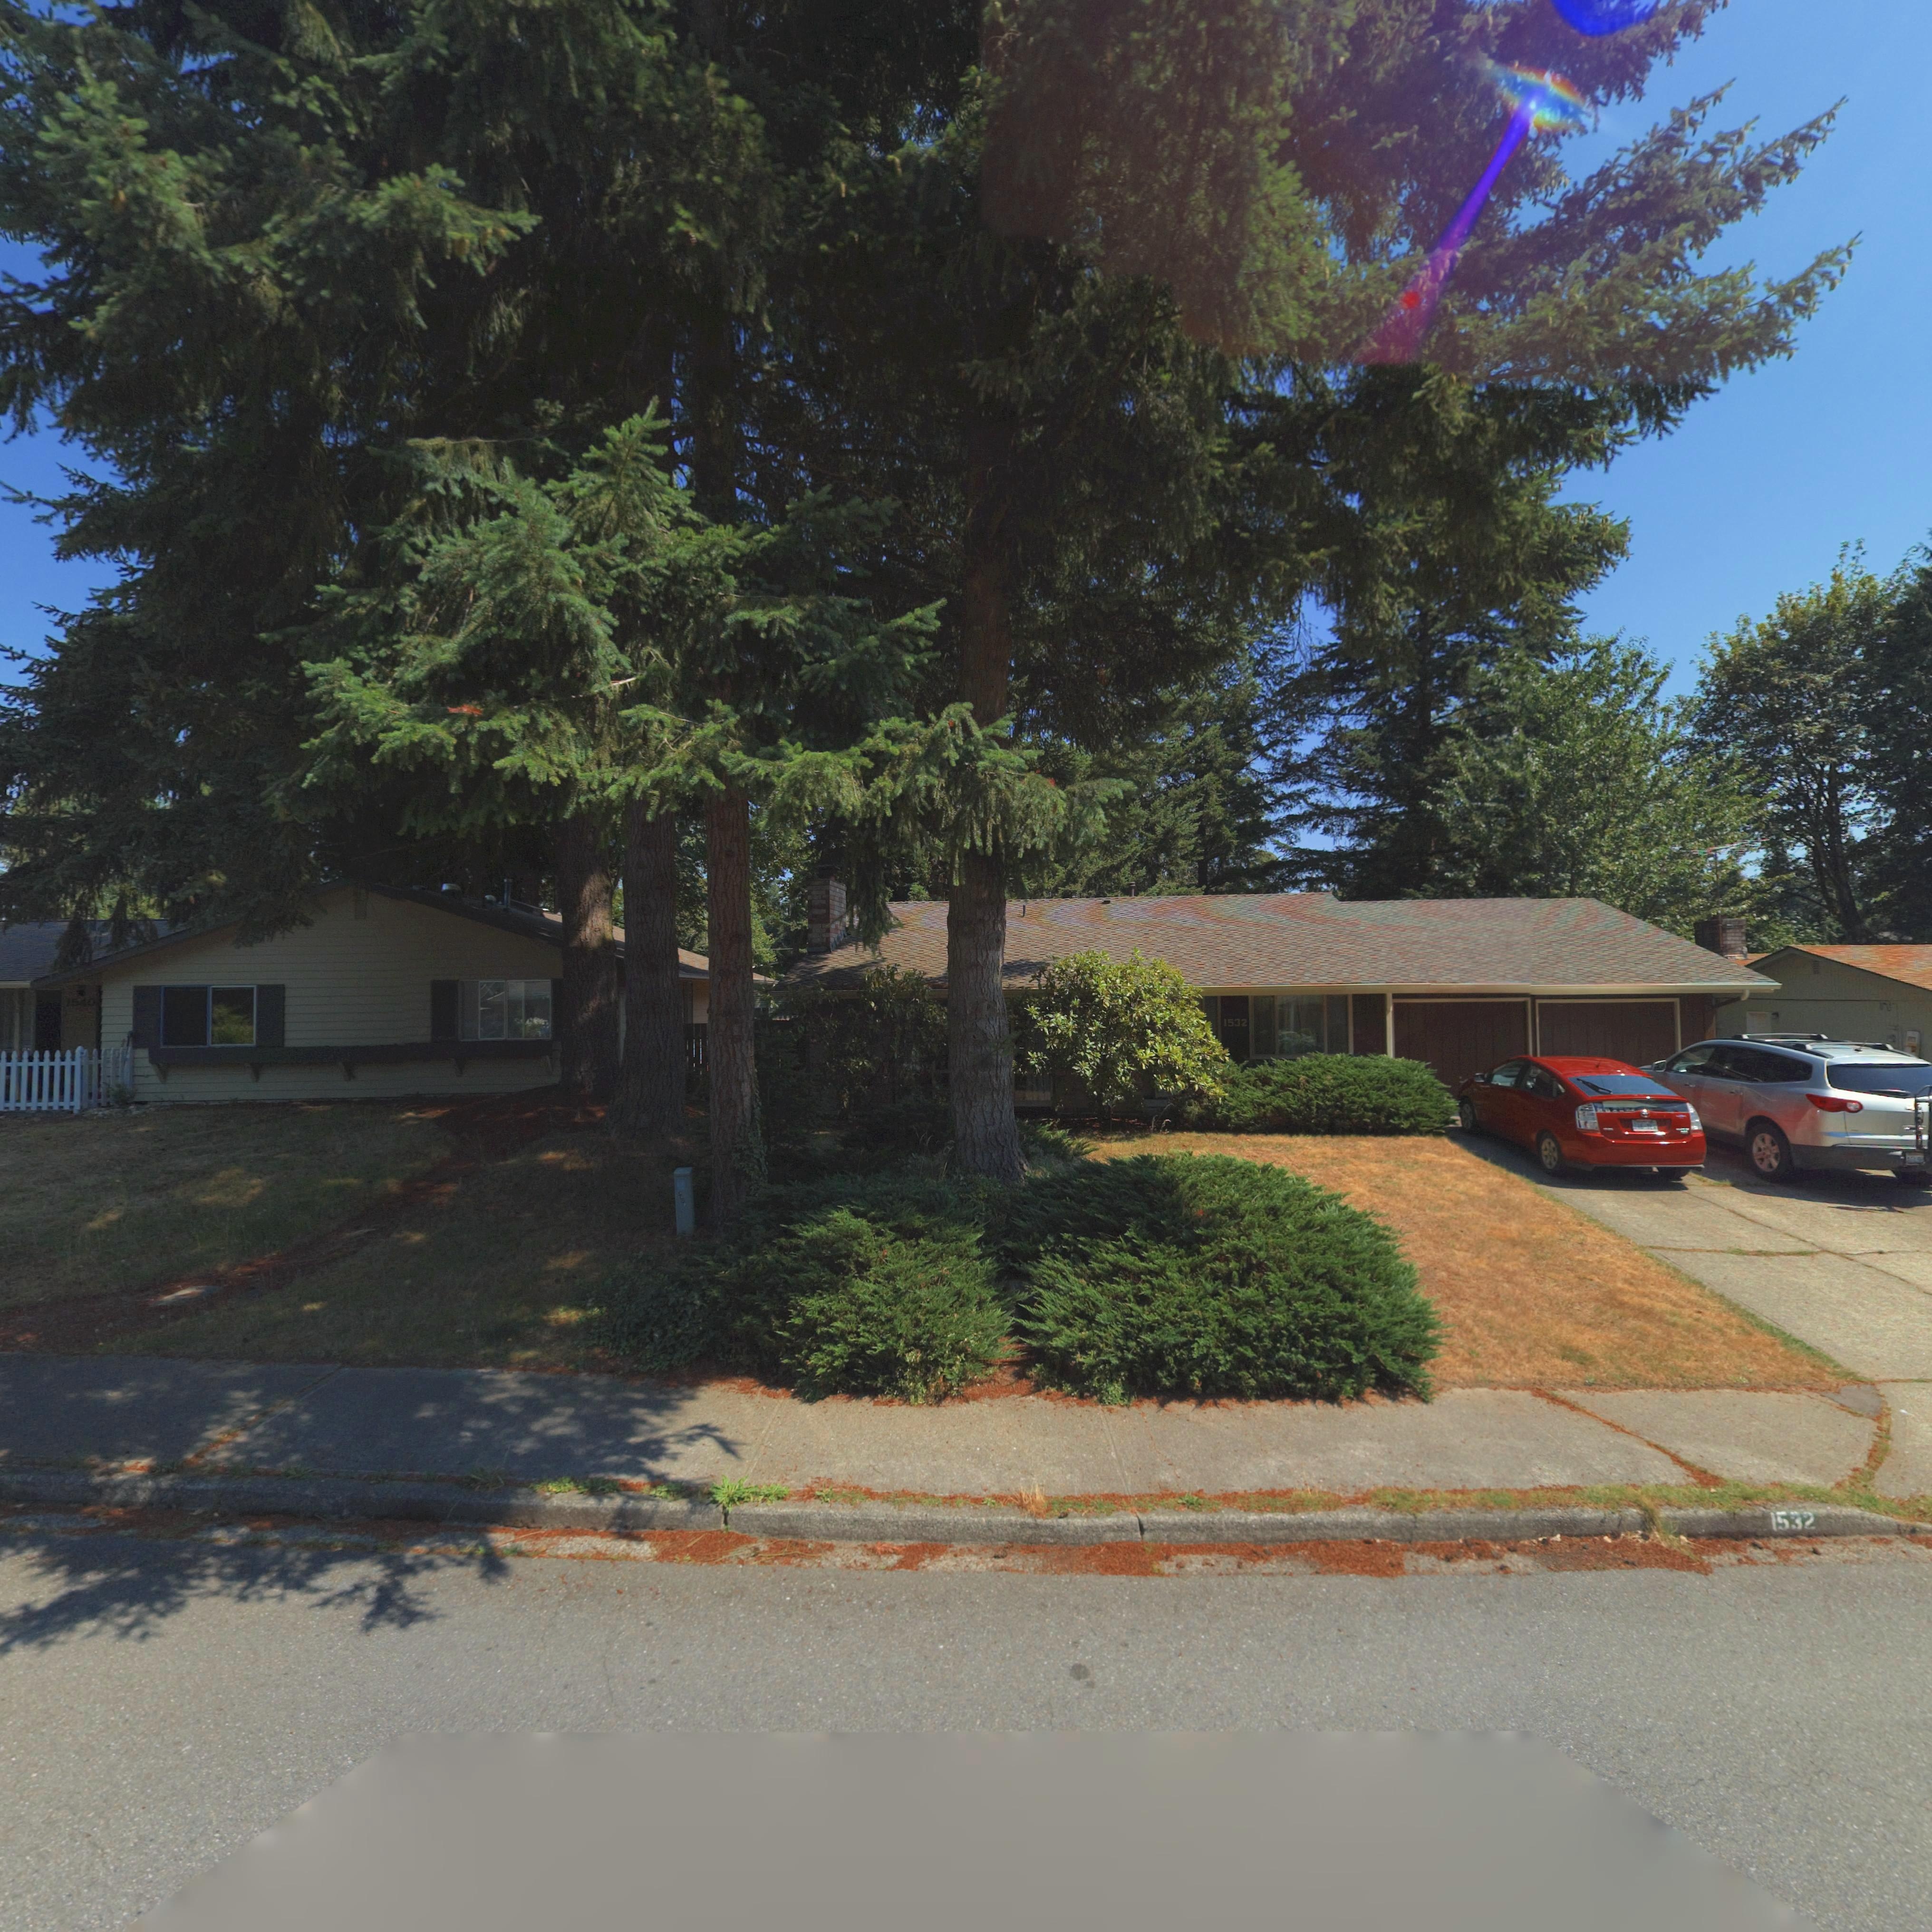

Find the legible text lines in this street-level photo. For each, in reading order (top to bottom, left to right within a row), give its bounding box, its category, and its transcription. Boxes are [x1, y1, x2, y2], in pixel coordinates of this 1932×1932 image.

[1223, 1017, 1248, 1028] StreetNumber: 1532
[1768, 1509, 1816, 1531] StreetNumber: 1532